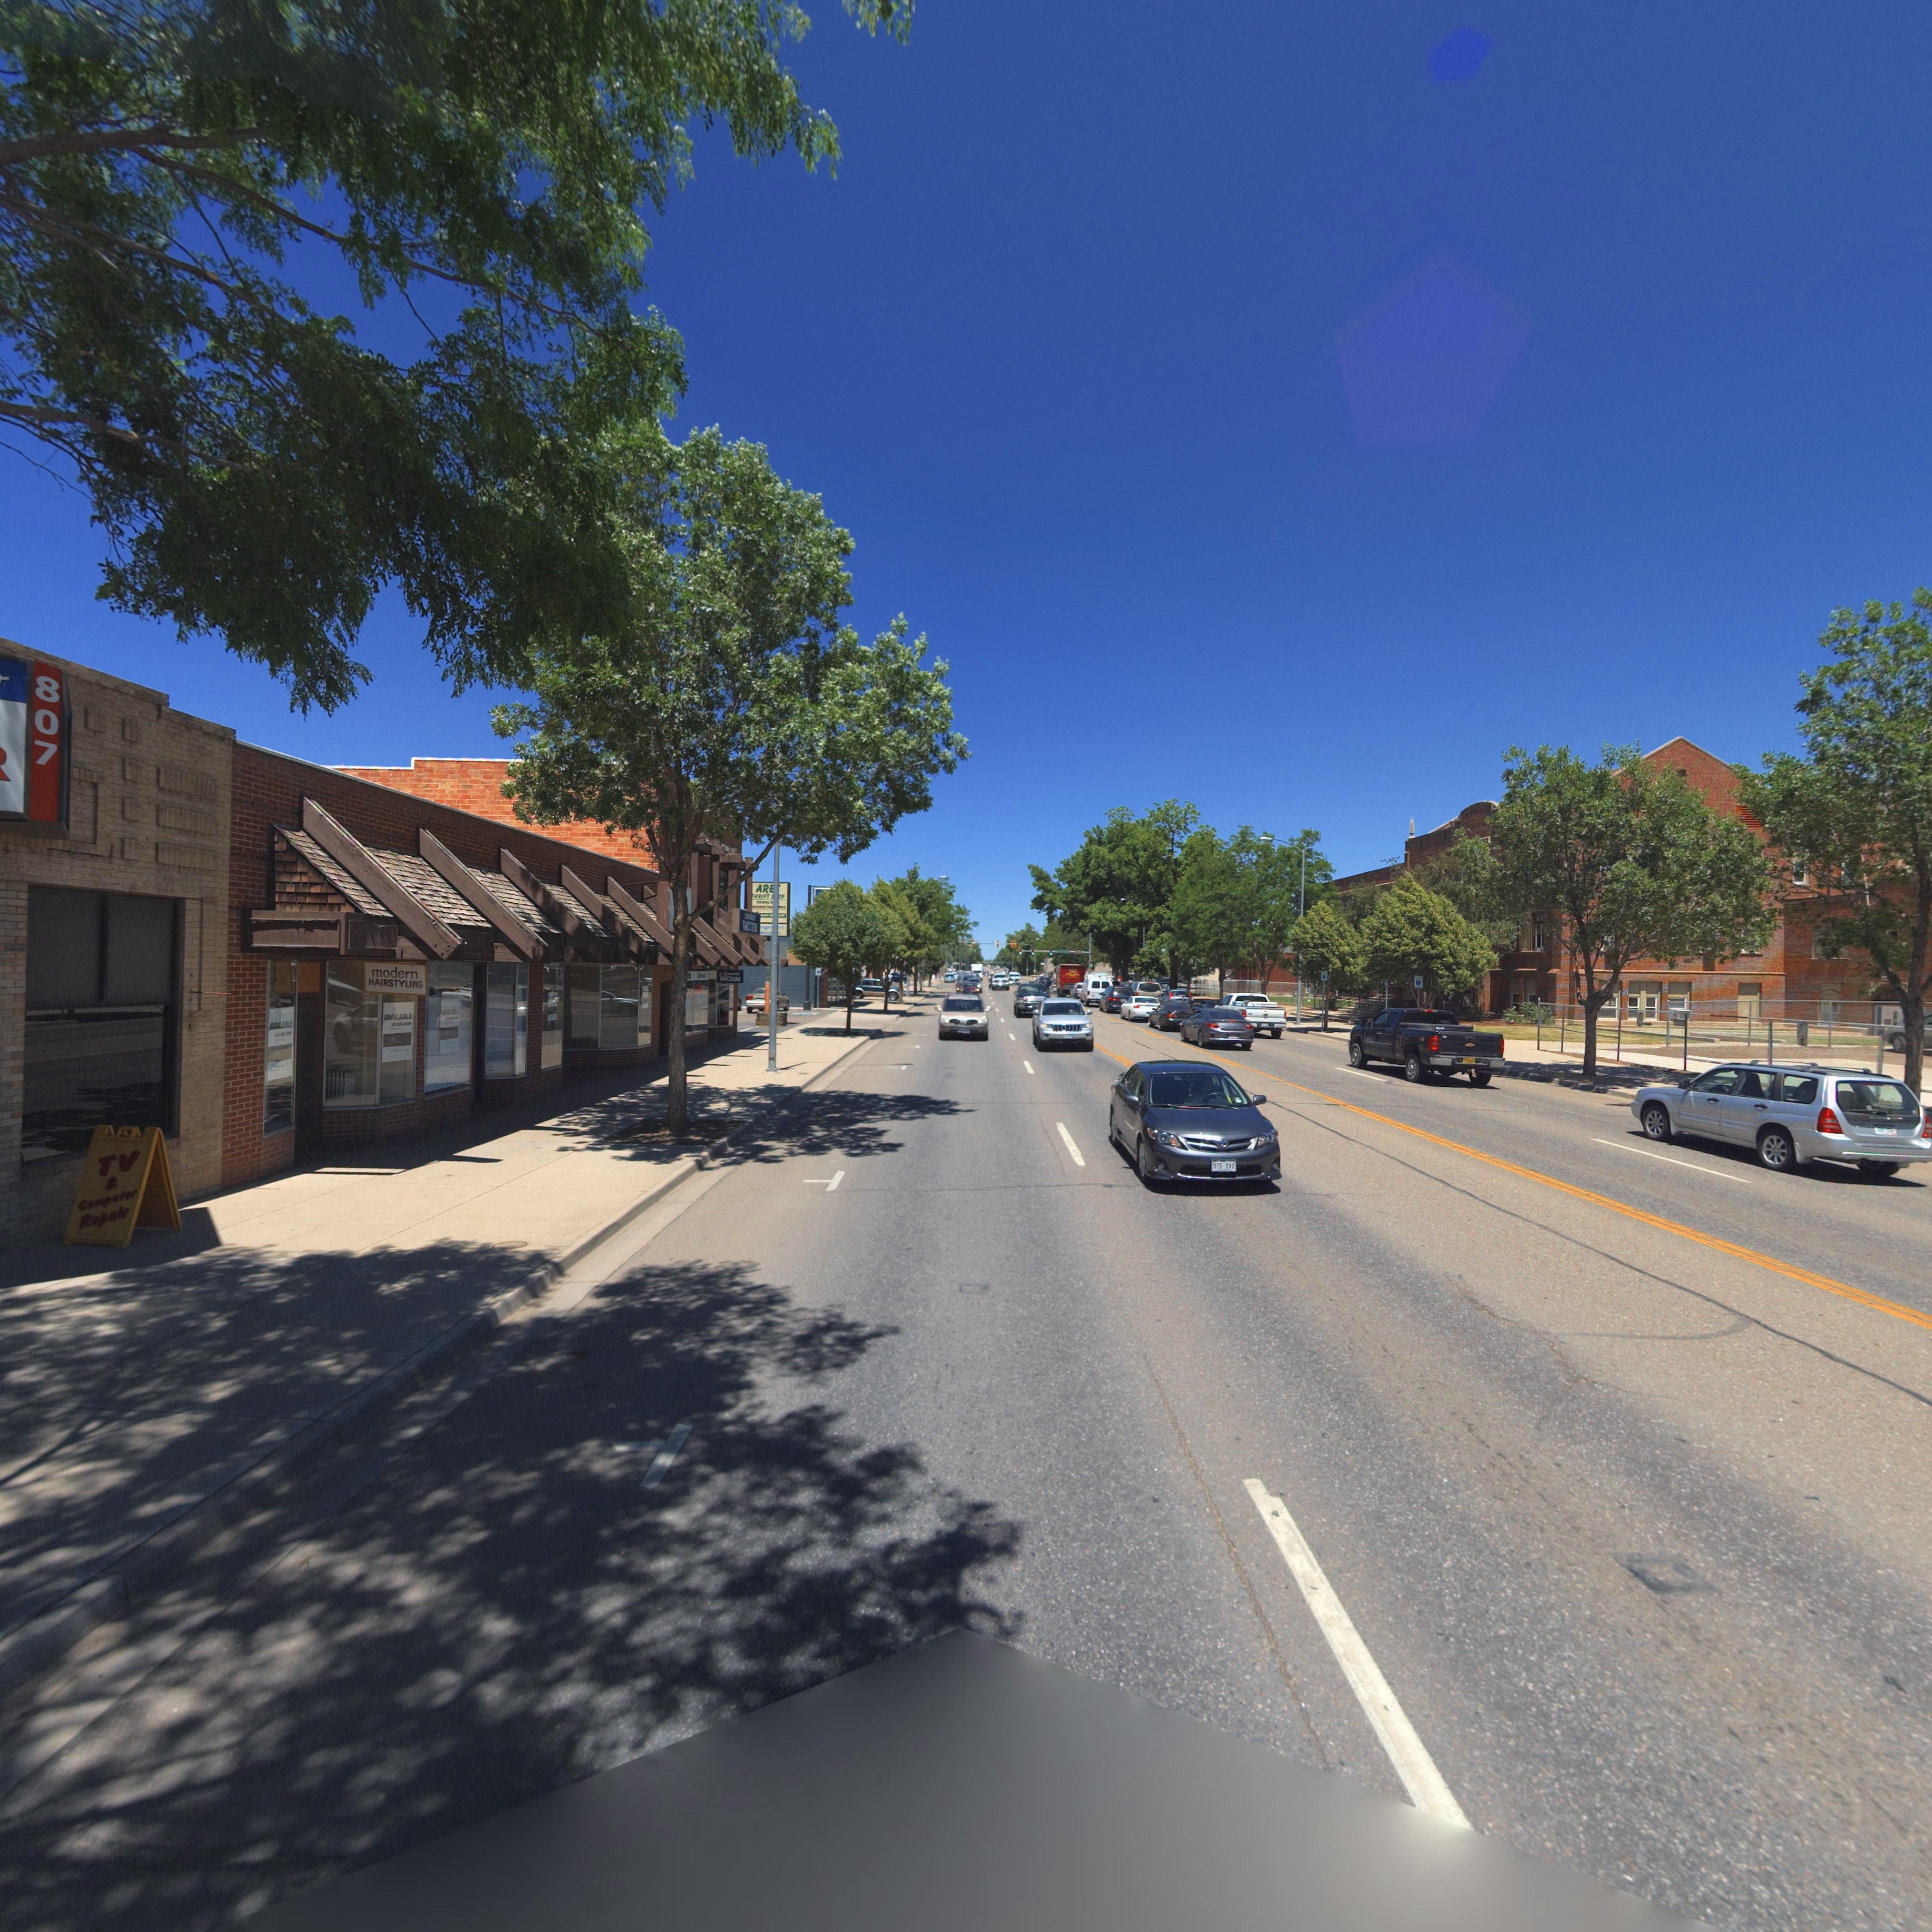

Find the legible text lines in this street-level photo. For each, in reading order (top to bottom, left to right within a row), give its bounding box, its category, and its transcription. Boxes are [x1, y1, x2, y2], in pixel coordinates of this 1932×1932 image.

[33, 675, 60, 766] StreetNumber: 807
[755, 884, 781, 893] BusinessName: ARE*
[751, 894, 784, 899] BusinessName: THRIFT S*OP
[744, 912, 756, 921] BusinessName: L*******
[743, 920, 757, 932] BusinessName: V*CUUM
[763, 931, 780, 935] BusinessName: cu**
[760, 925, 784, 930] BusinessName: ngm**t
[372, 966, 418, 979] BusinessName: modern
[369, 978, 423, 988] BusinessName: HAIRSTYLING
[719, 971, 740, 976] BusinessName: L******t
[719, 976, 740, 982] BusinessName: VACUUM
[97, 1148, 142, 1177] BusinessName: TV
[103, 1176, 118, 1191] BusinessName: &
[77, 1189, 138, 1212] BusinessName: Computer
[77, 1205, 130, 1230] BusinessName: Repair